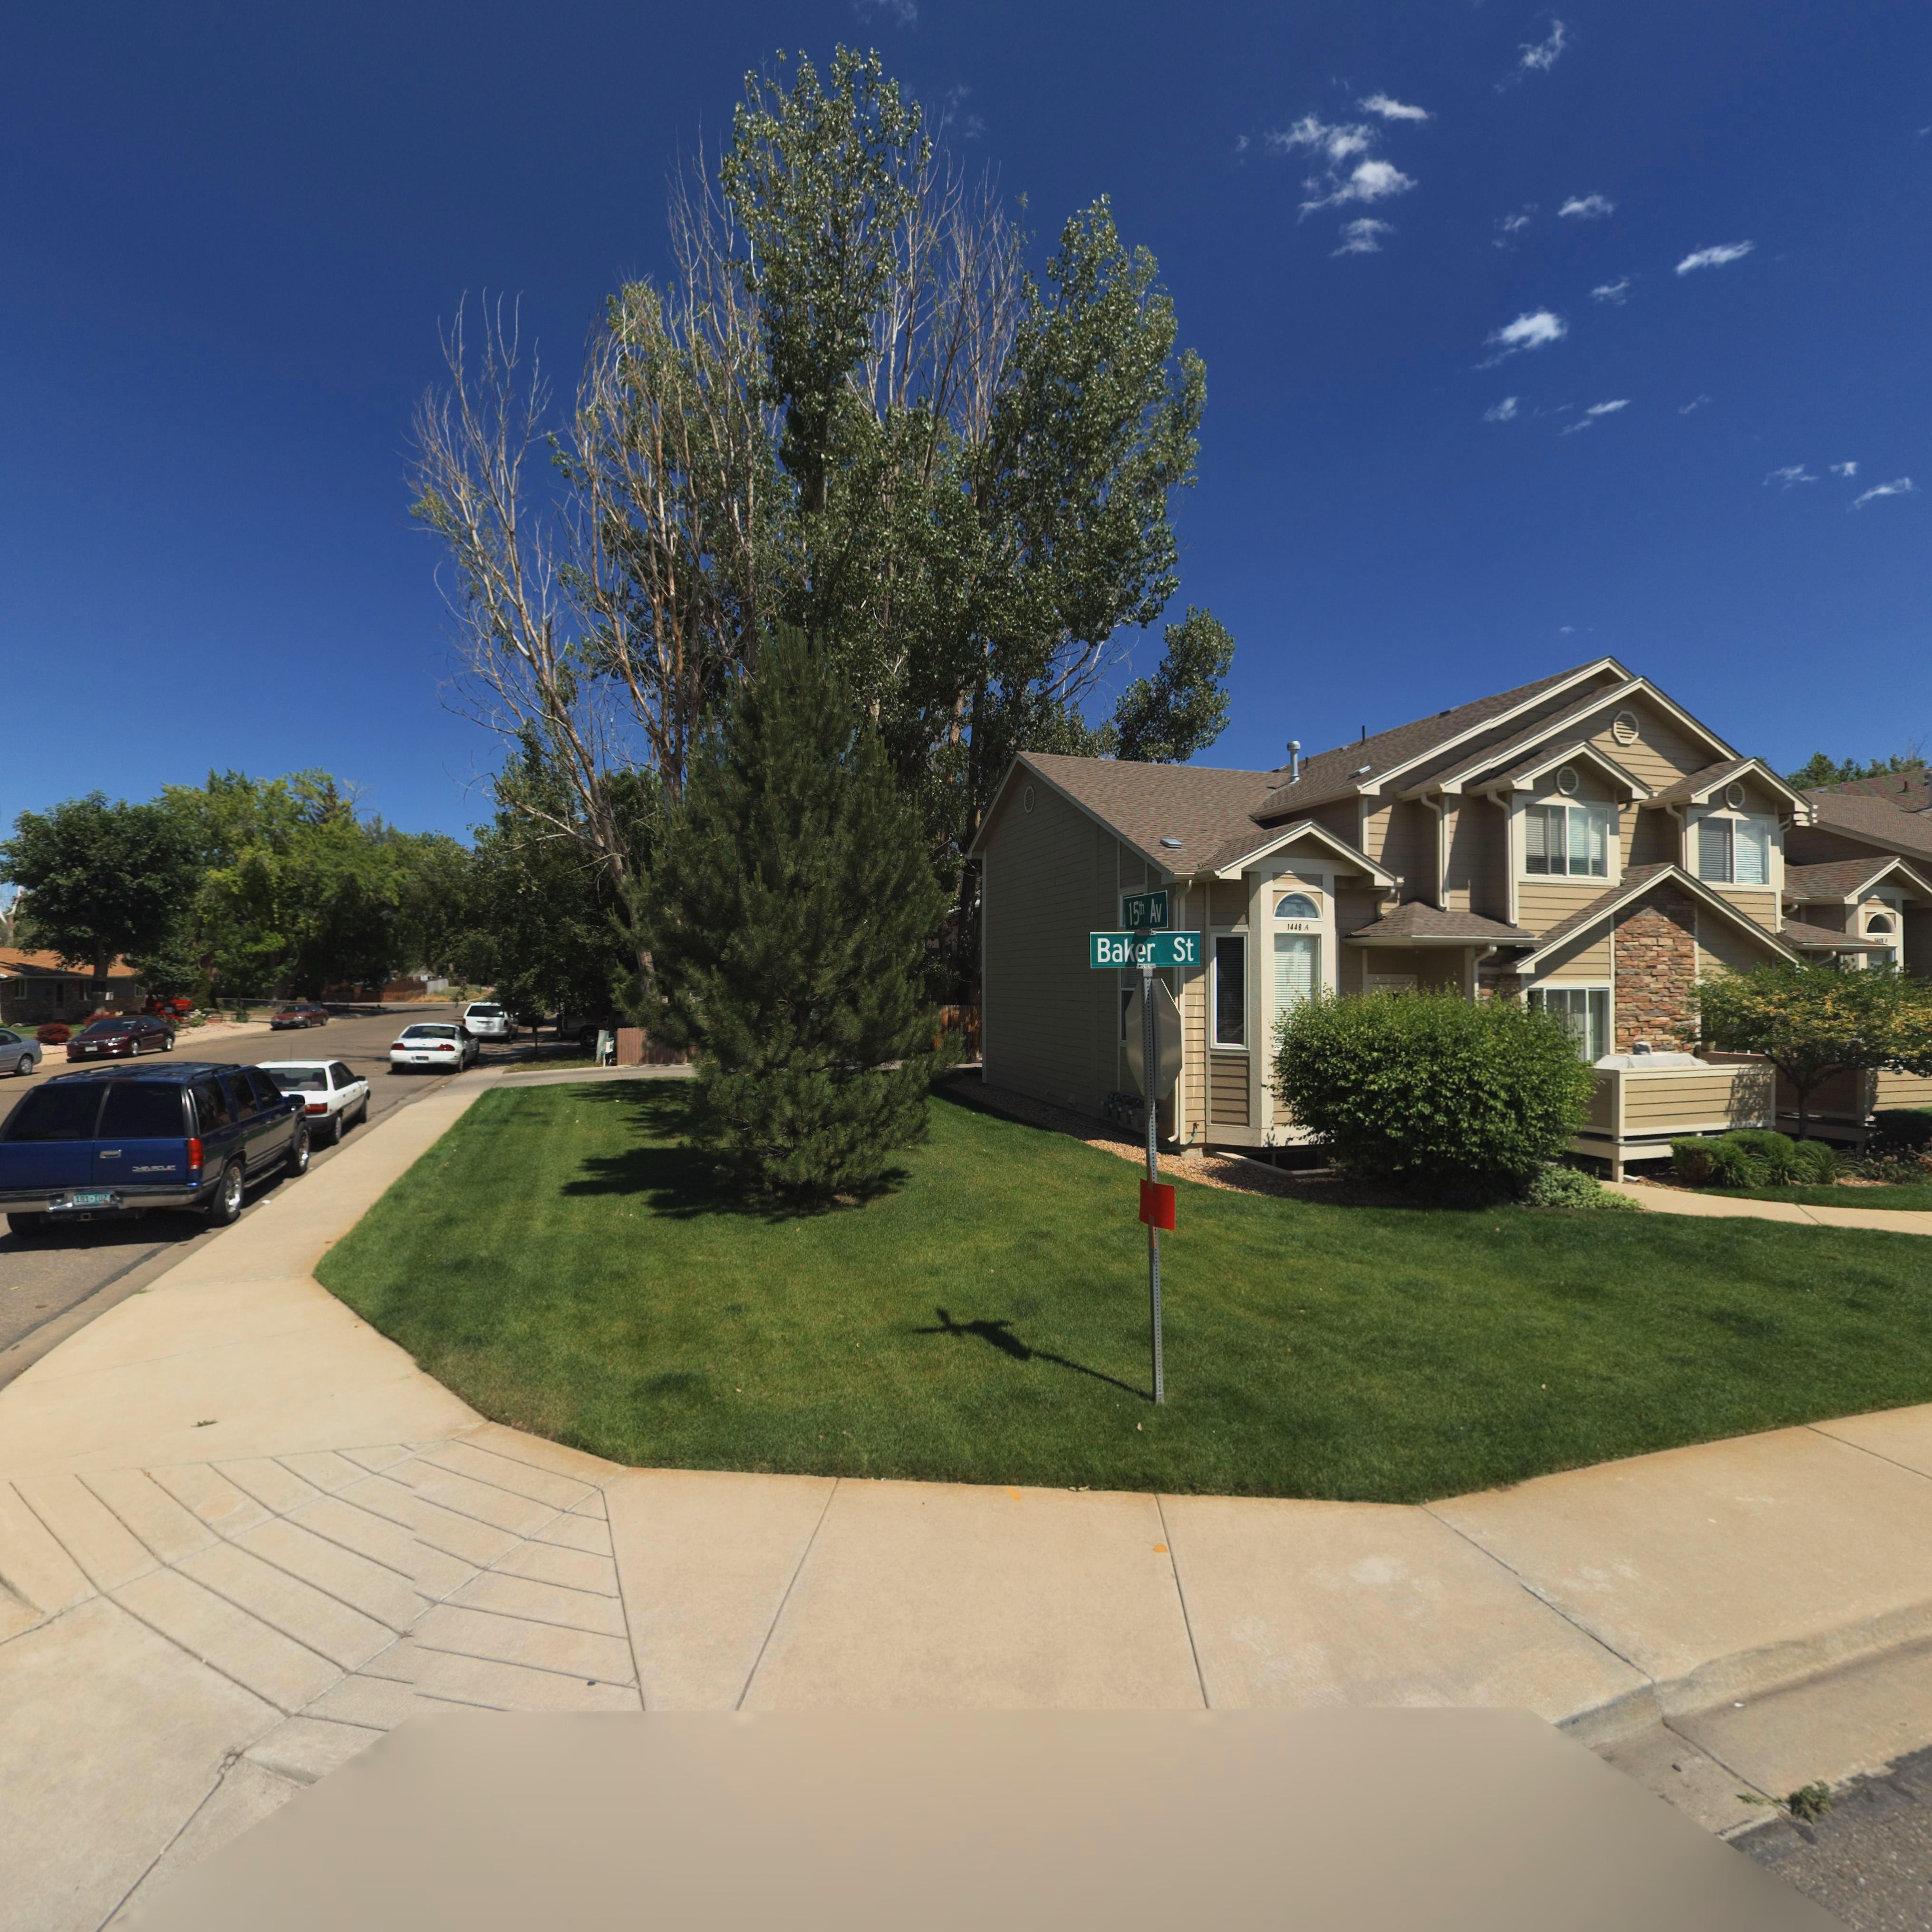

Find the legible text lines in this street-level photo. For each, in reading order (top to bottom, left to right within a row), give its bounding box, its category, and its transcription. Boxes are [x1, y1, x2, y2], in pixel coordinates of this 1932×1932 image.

[1127, 898, 1162, 927] StreetName: 15th Av
[1287, 923, 1309, 931] StreetNumber: 1448 A
[1097, 936, 1195, 964] StreetName: Baker St